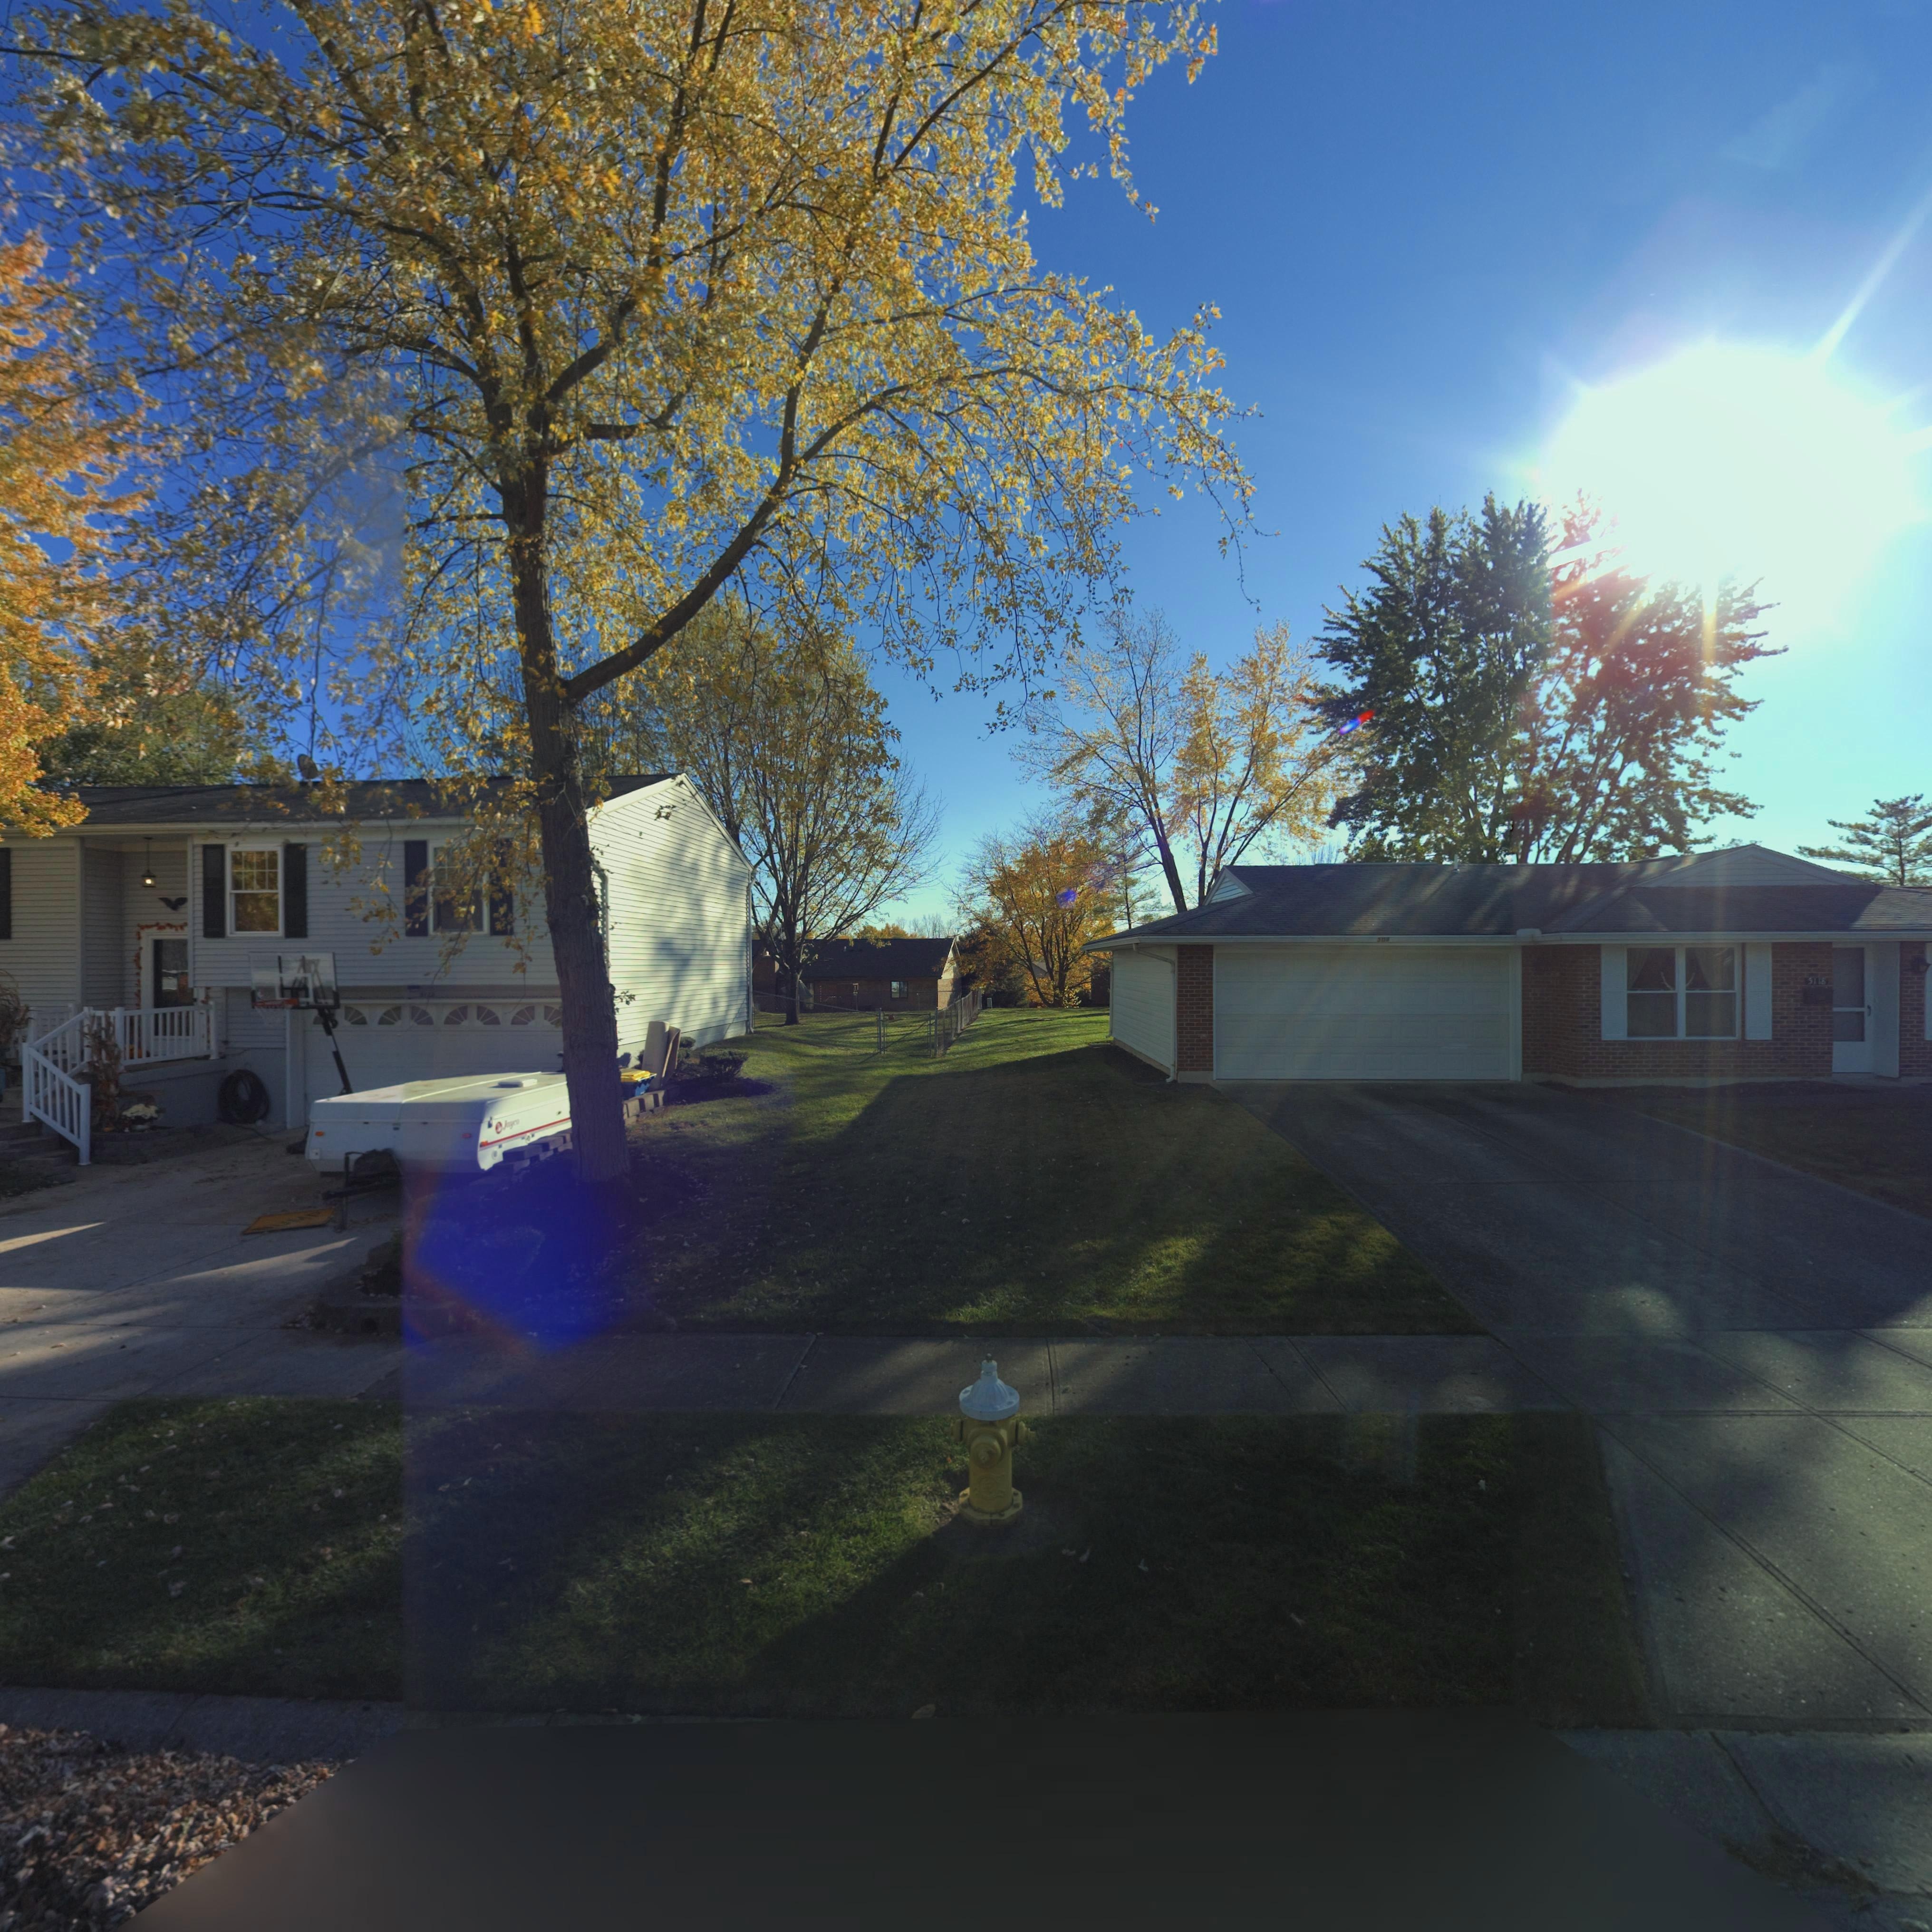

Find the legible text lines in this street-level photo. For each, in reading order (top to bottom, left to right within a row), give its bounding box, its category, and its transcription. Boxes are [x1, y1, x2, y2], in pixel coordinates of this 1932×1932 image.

[1377, 937, 1390, 942] StreetNumber: 5118
[1807, 976, 1826, 985] StreetNumber: 5118
[419, 992, 435, 998] StreetNumber: 51**